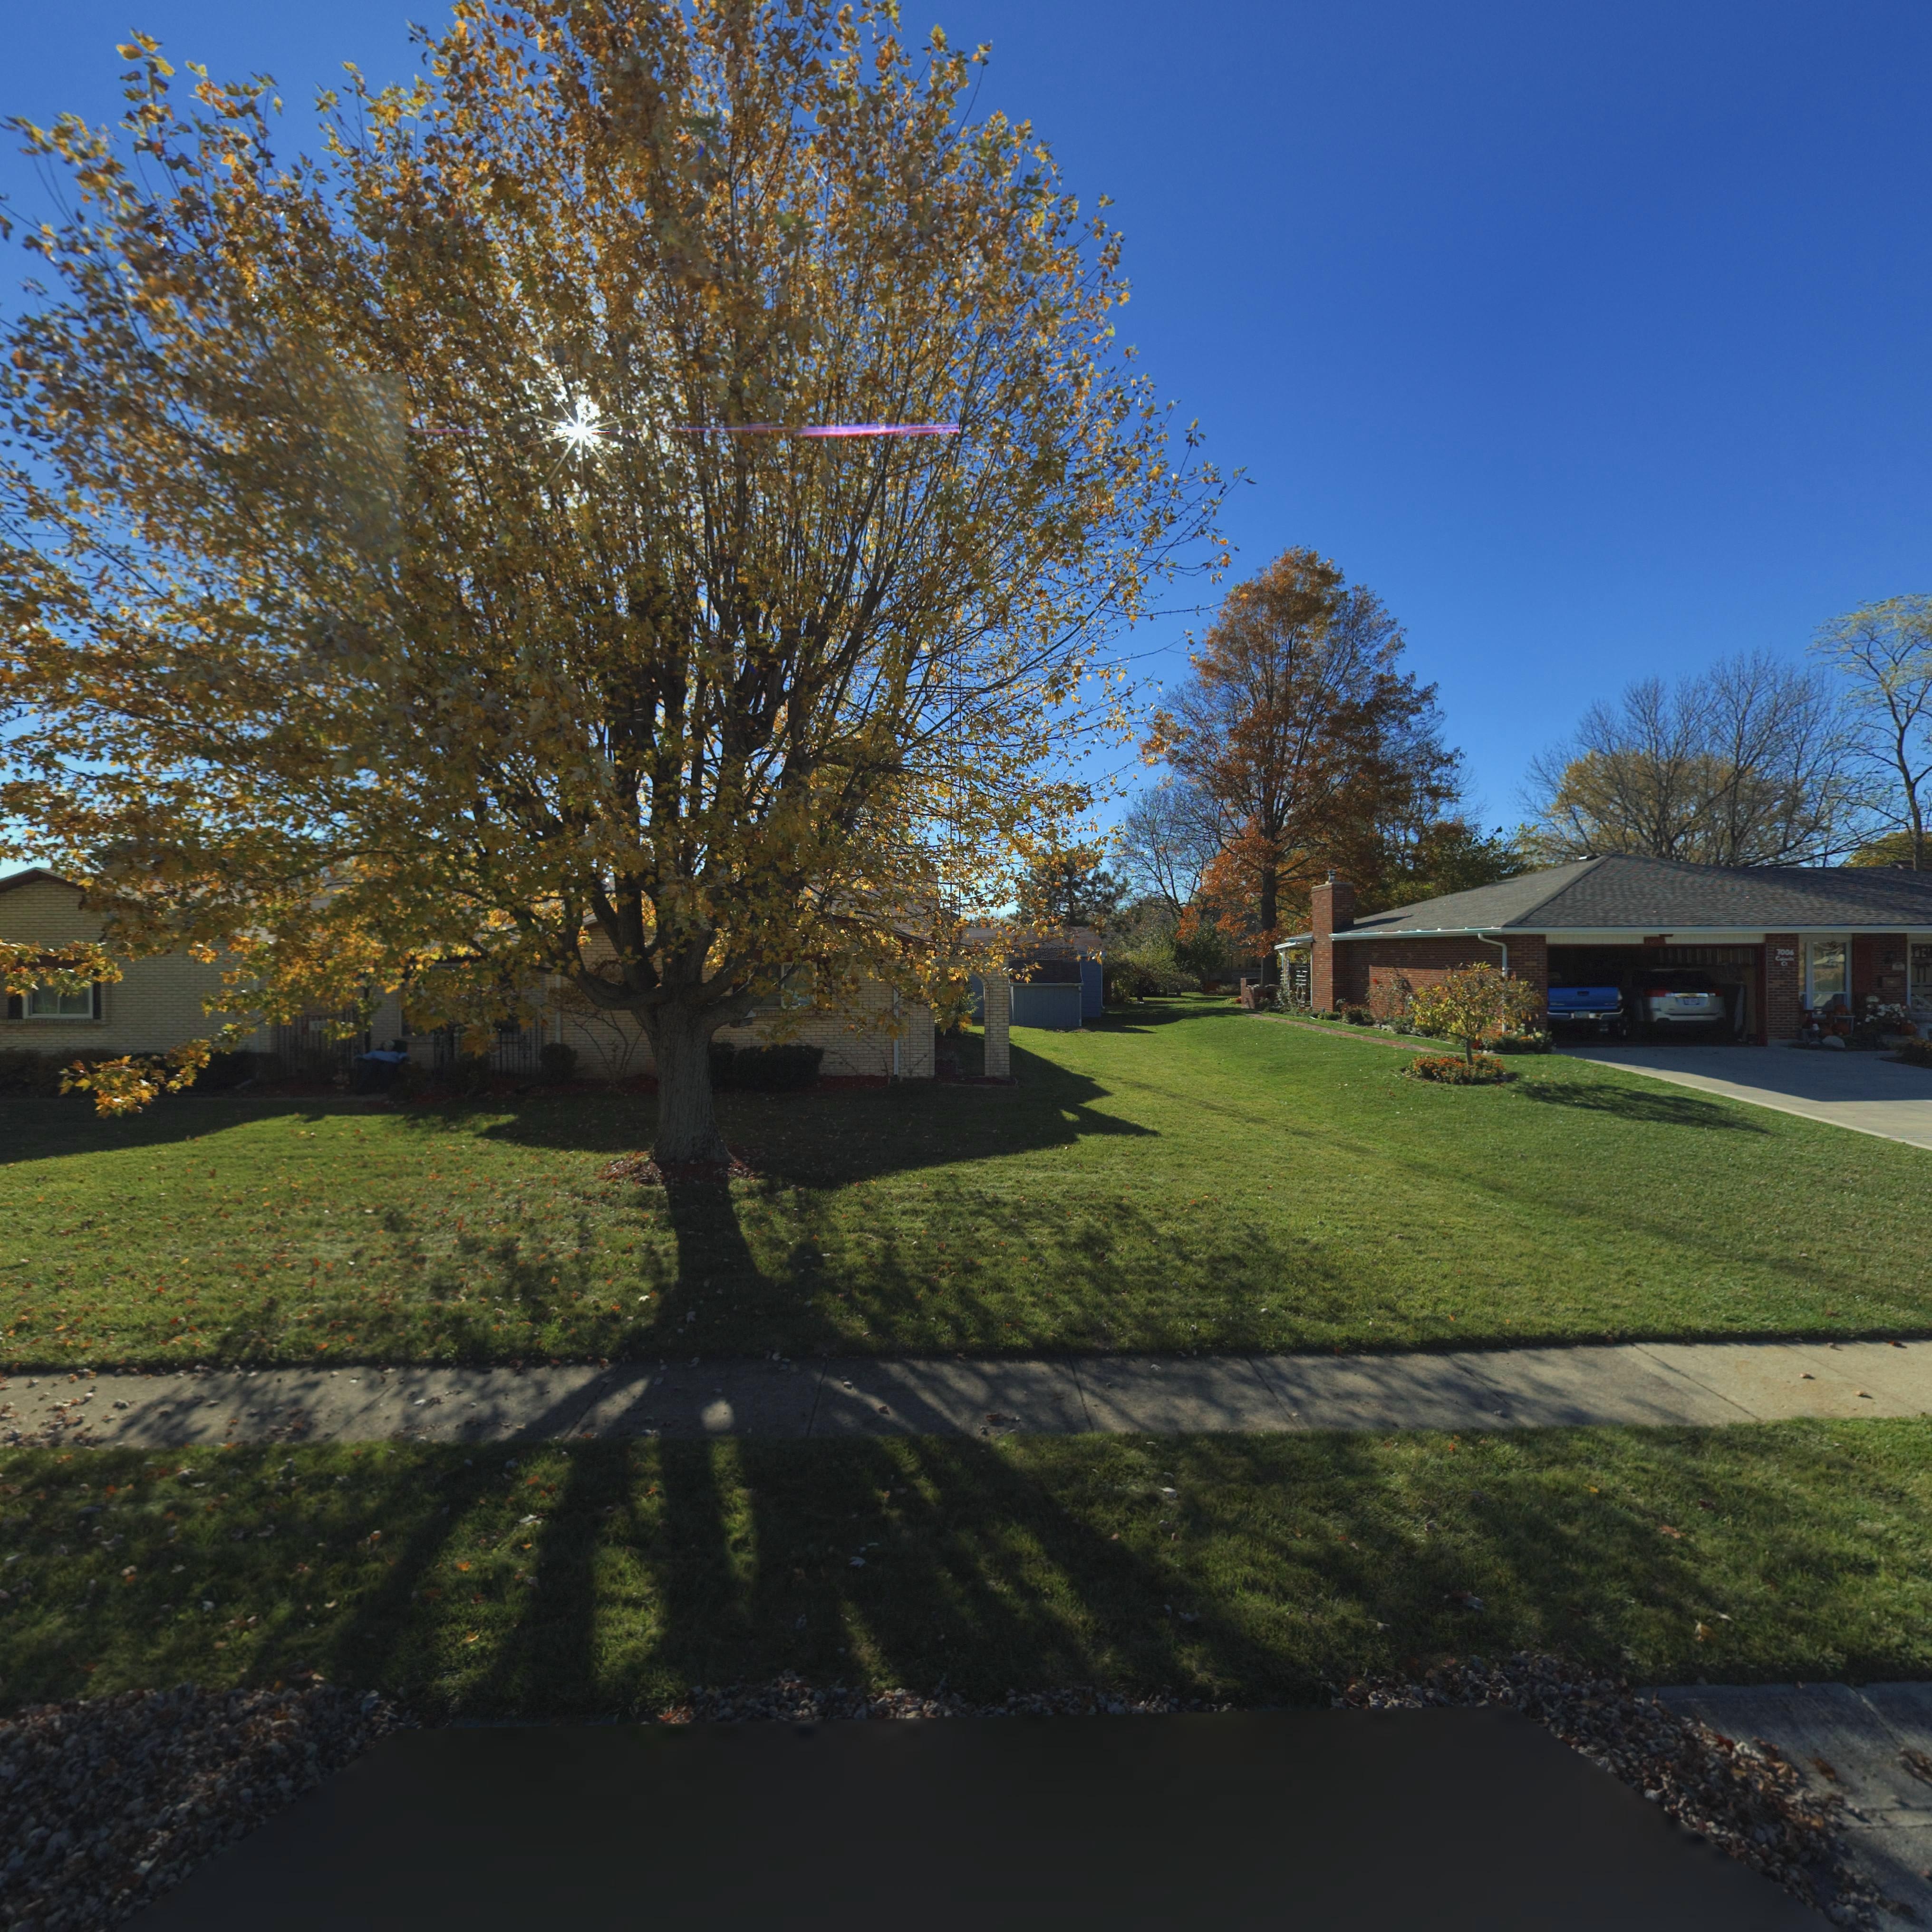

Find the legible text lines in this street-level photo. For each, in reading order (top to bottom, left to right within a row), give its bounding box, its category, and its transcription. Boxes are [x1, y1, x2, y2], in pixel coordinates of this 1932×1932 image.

[1644, 937, 1665, 944] StreetNumber: 700*
[1775, 948, 1795, 956] StreetNumber: 7006
[313, 1022, 331, 1029] StreetNumber: 700